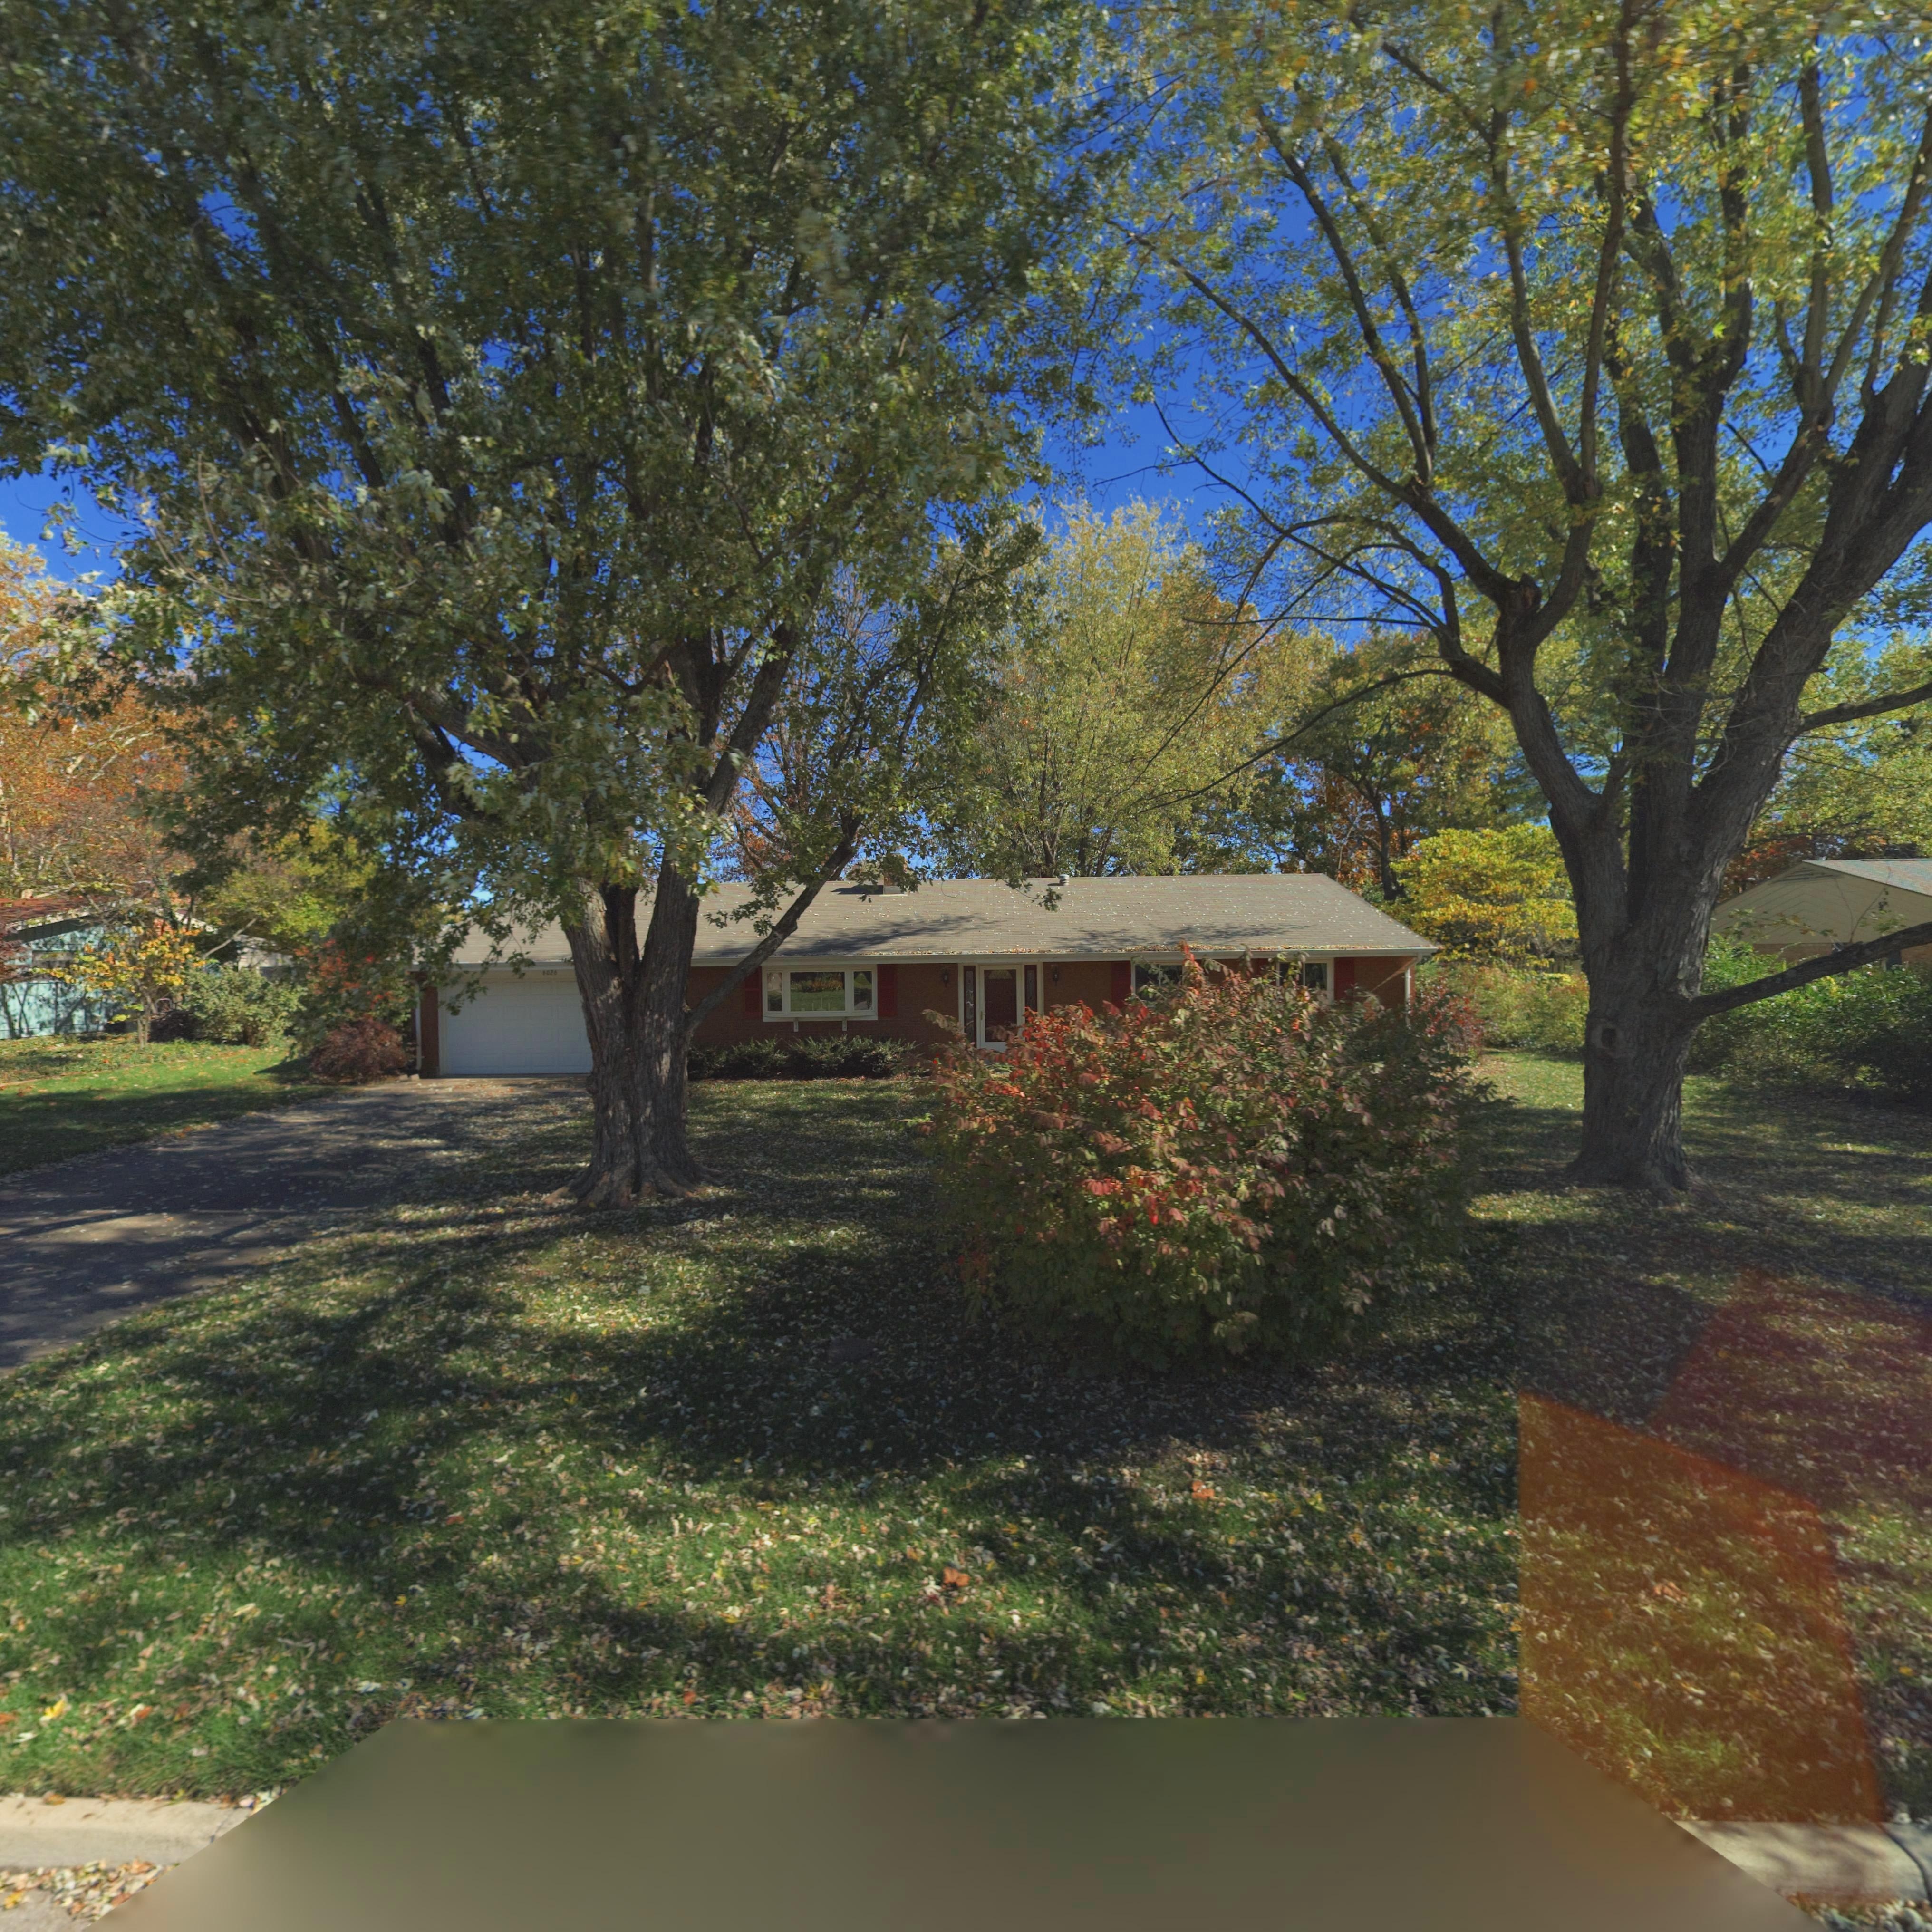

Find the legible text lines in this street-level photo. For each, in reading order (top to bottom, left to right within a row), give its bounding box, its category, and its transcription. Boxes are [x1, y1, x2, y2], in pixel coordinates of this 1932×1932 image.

[542, 969, 558, 976] StreetNumber: *026